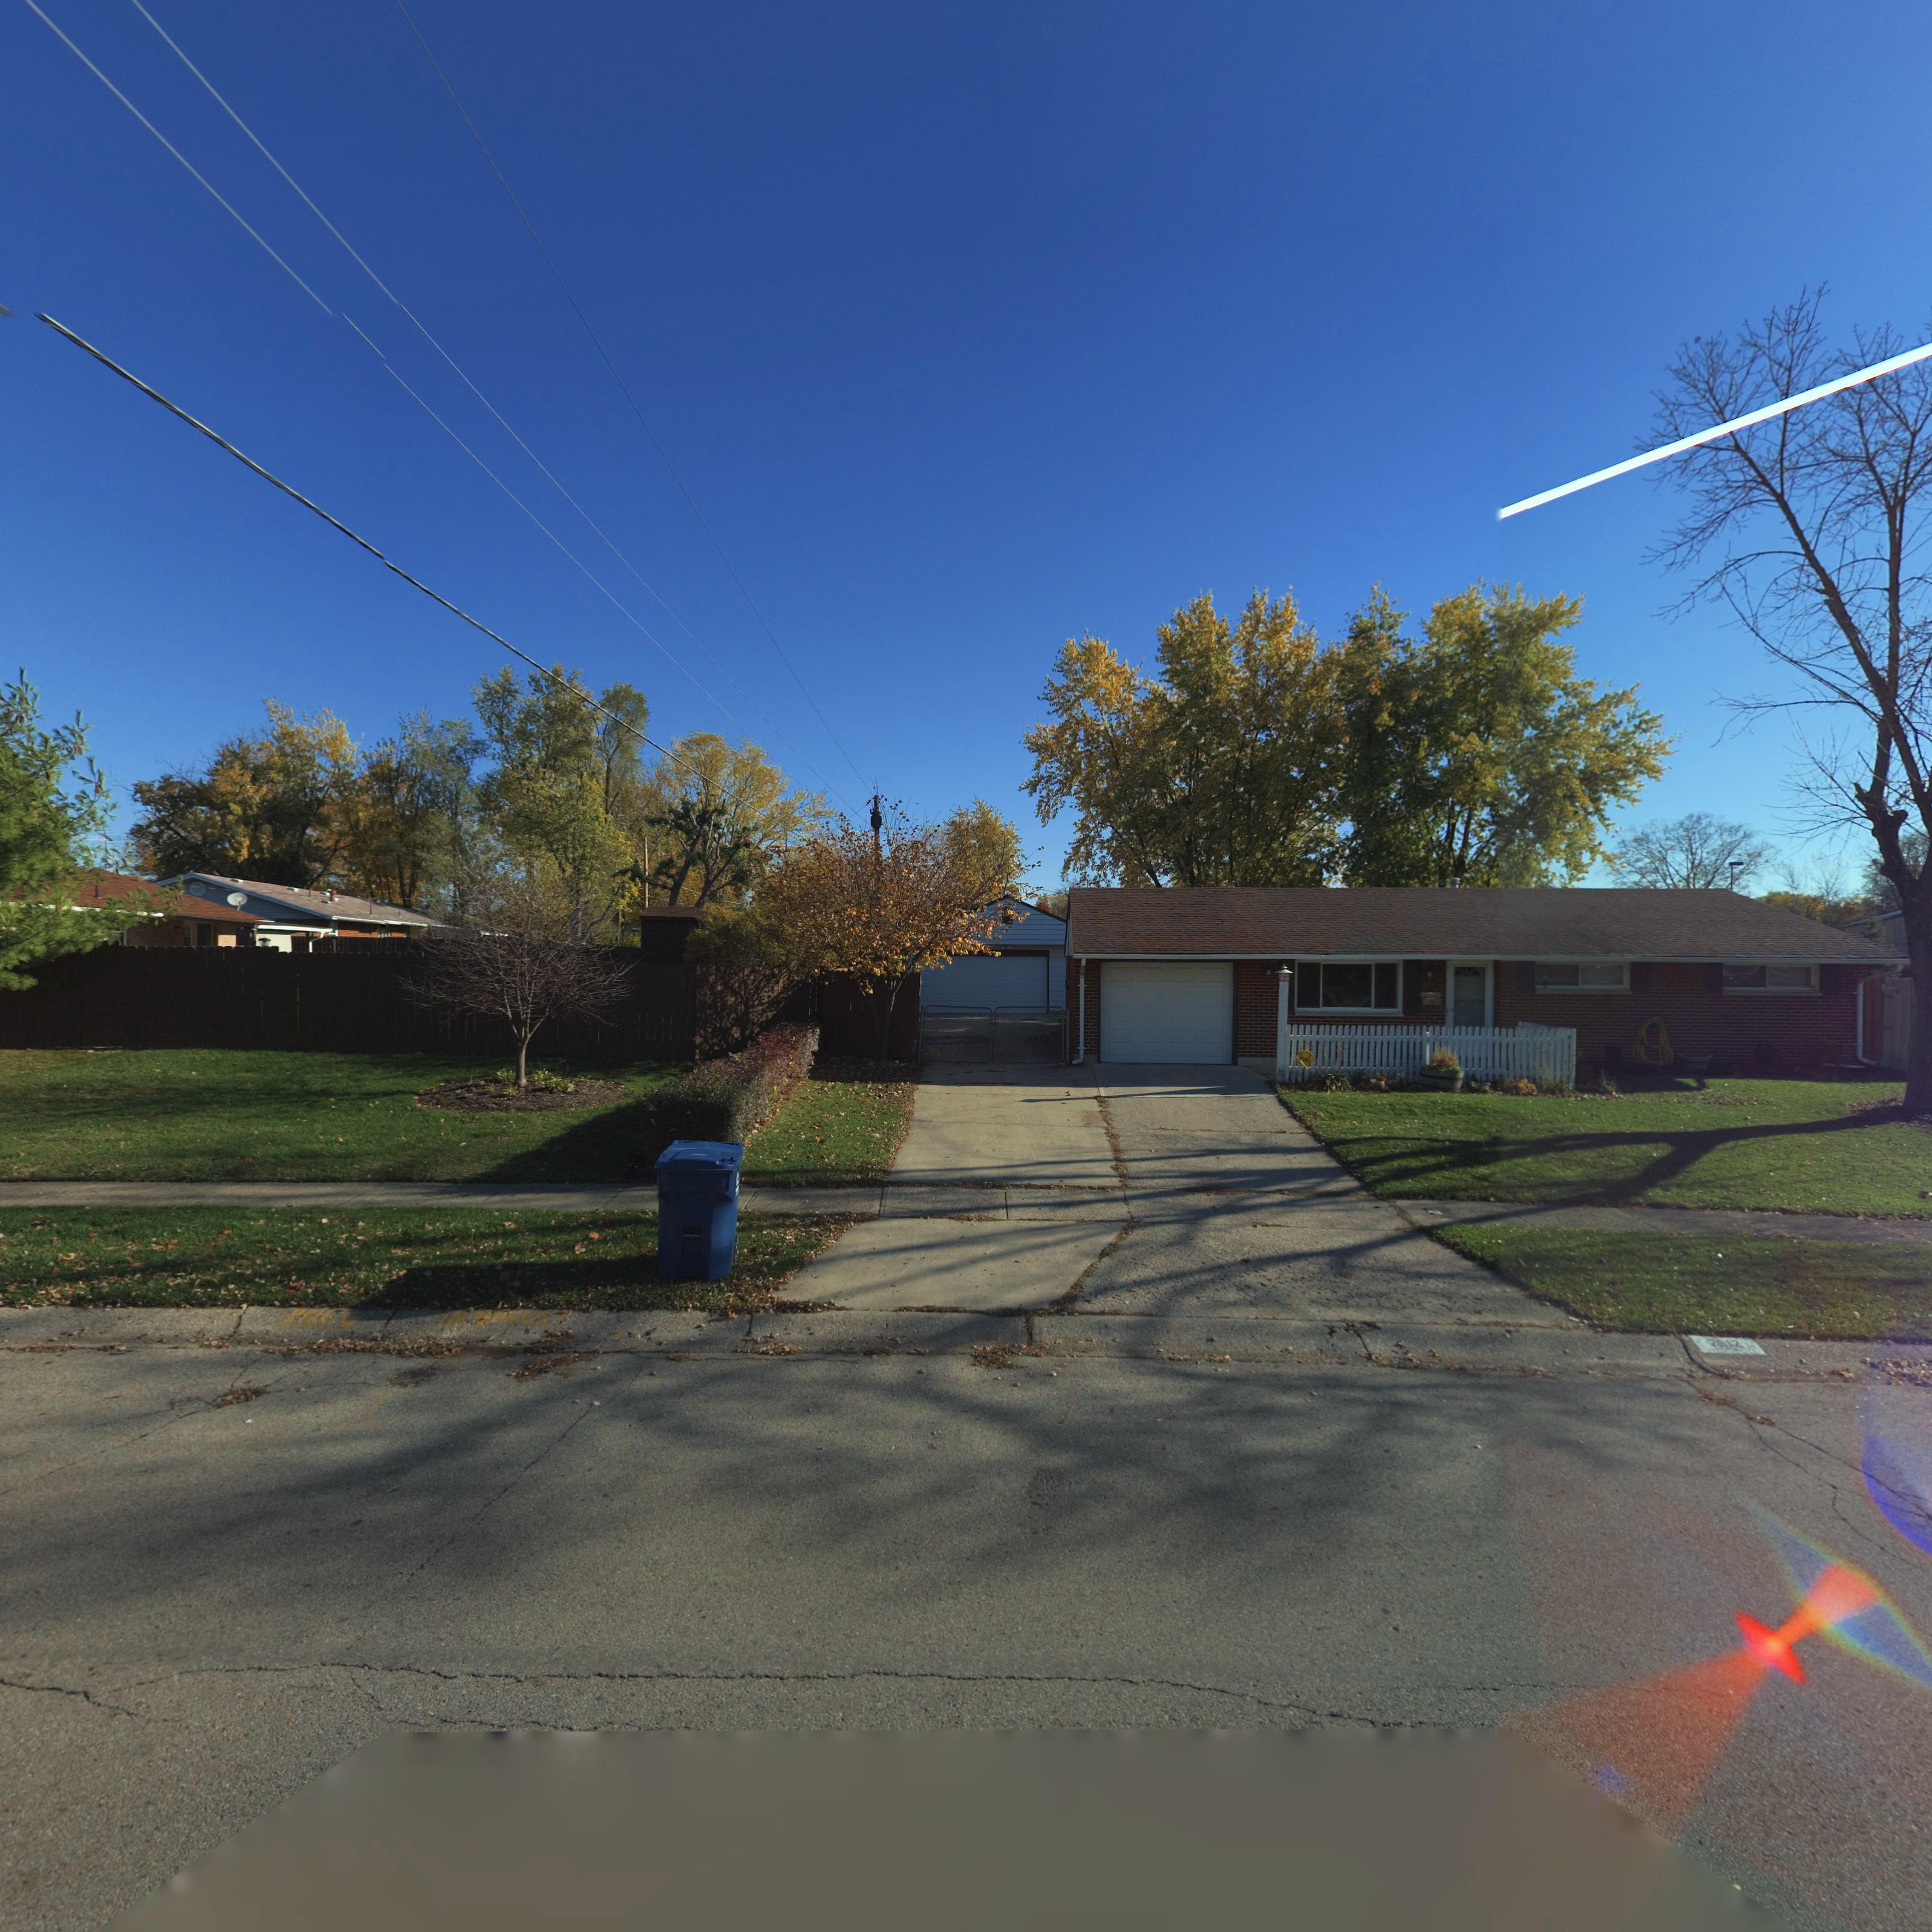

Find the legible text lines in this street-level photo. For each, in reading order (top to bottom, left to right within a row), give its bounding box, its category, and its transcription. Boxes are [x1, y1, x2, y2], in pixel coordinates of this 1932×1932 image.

[1706, 1339, 1746, 1349] StreetNumber: 7512